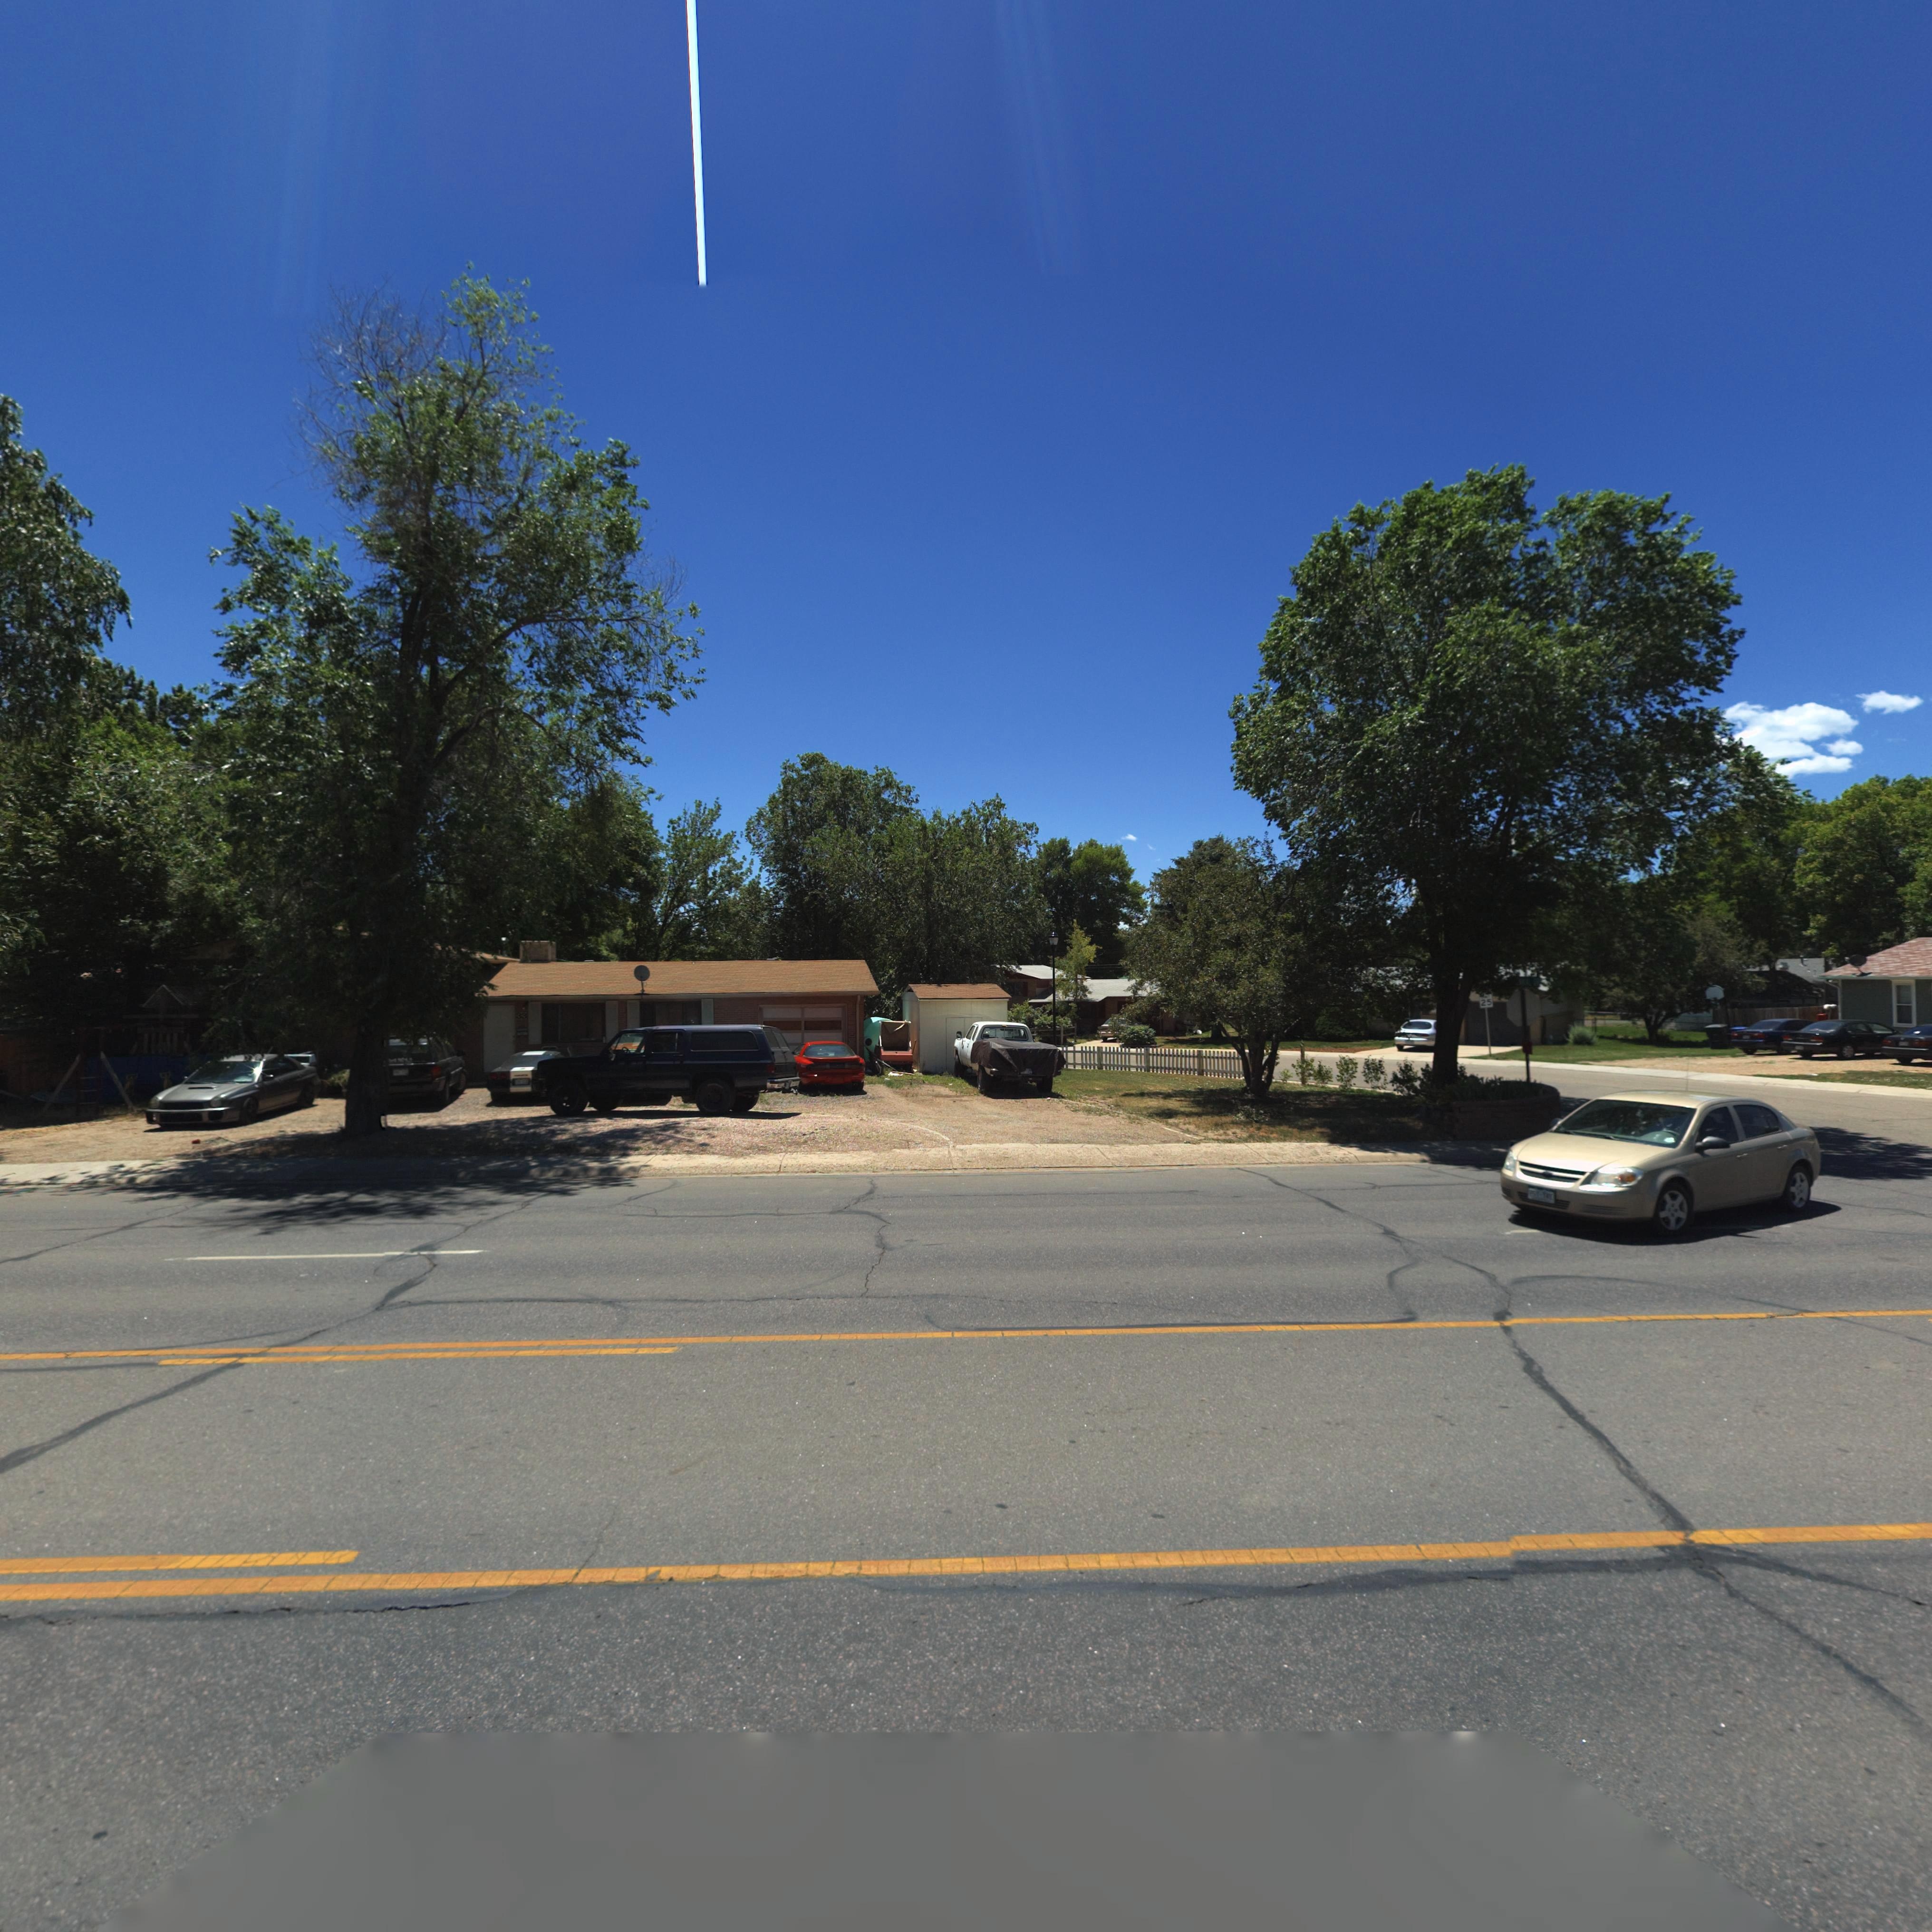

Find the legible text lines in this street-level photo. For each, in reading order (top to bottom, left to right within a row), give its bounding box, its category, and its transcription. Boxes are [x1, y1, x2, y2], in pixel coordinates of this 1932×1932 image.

[515, 1013, 527, 1019] StreetNumber: 33